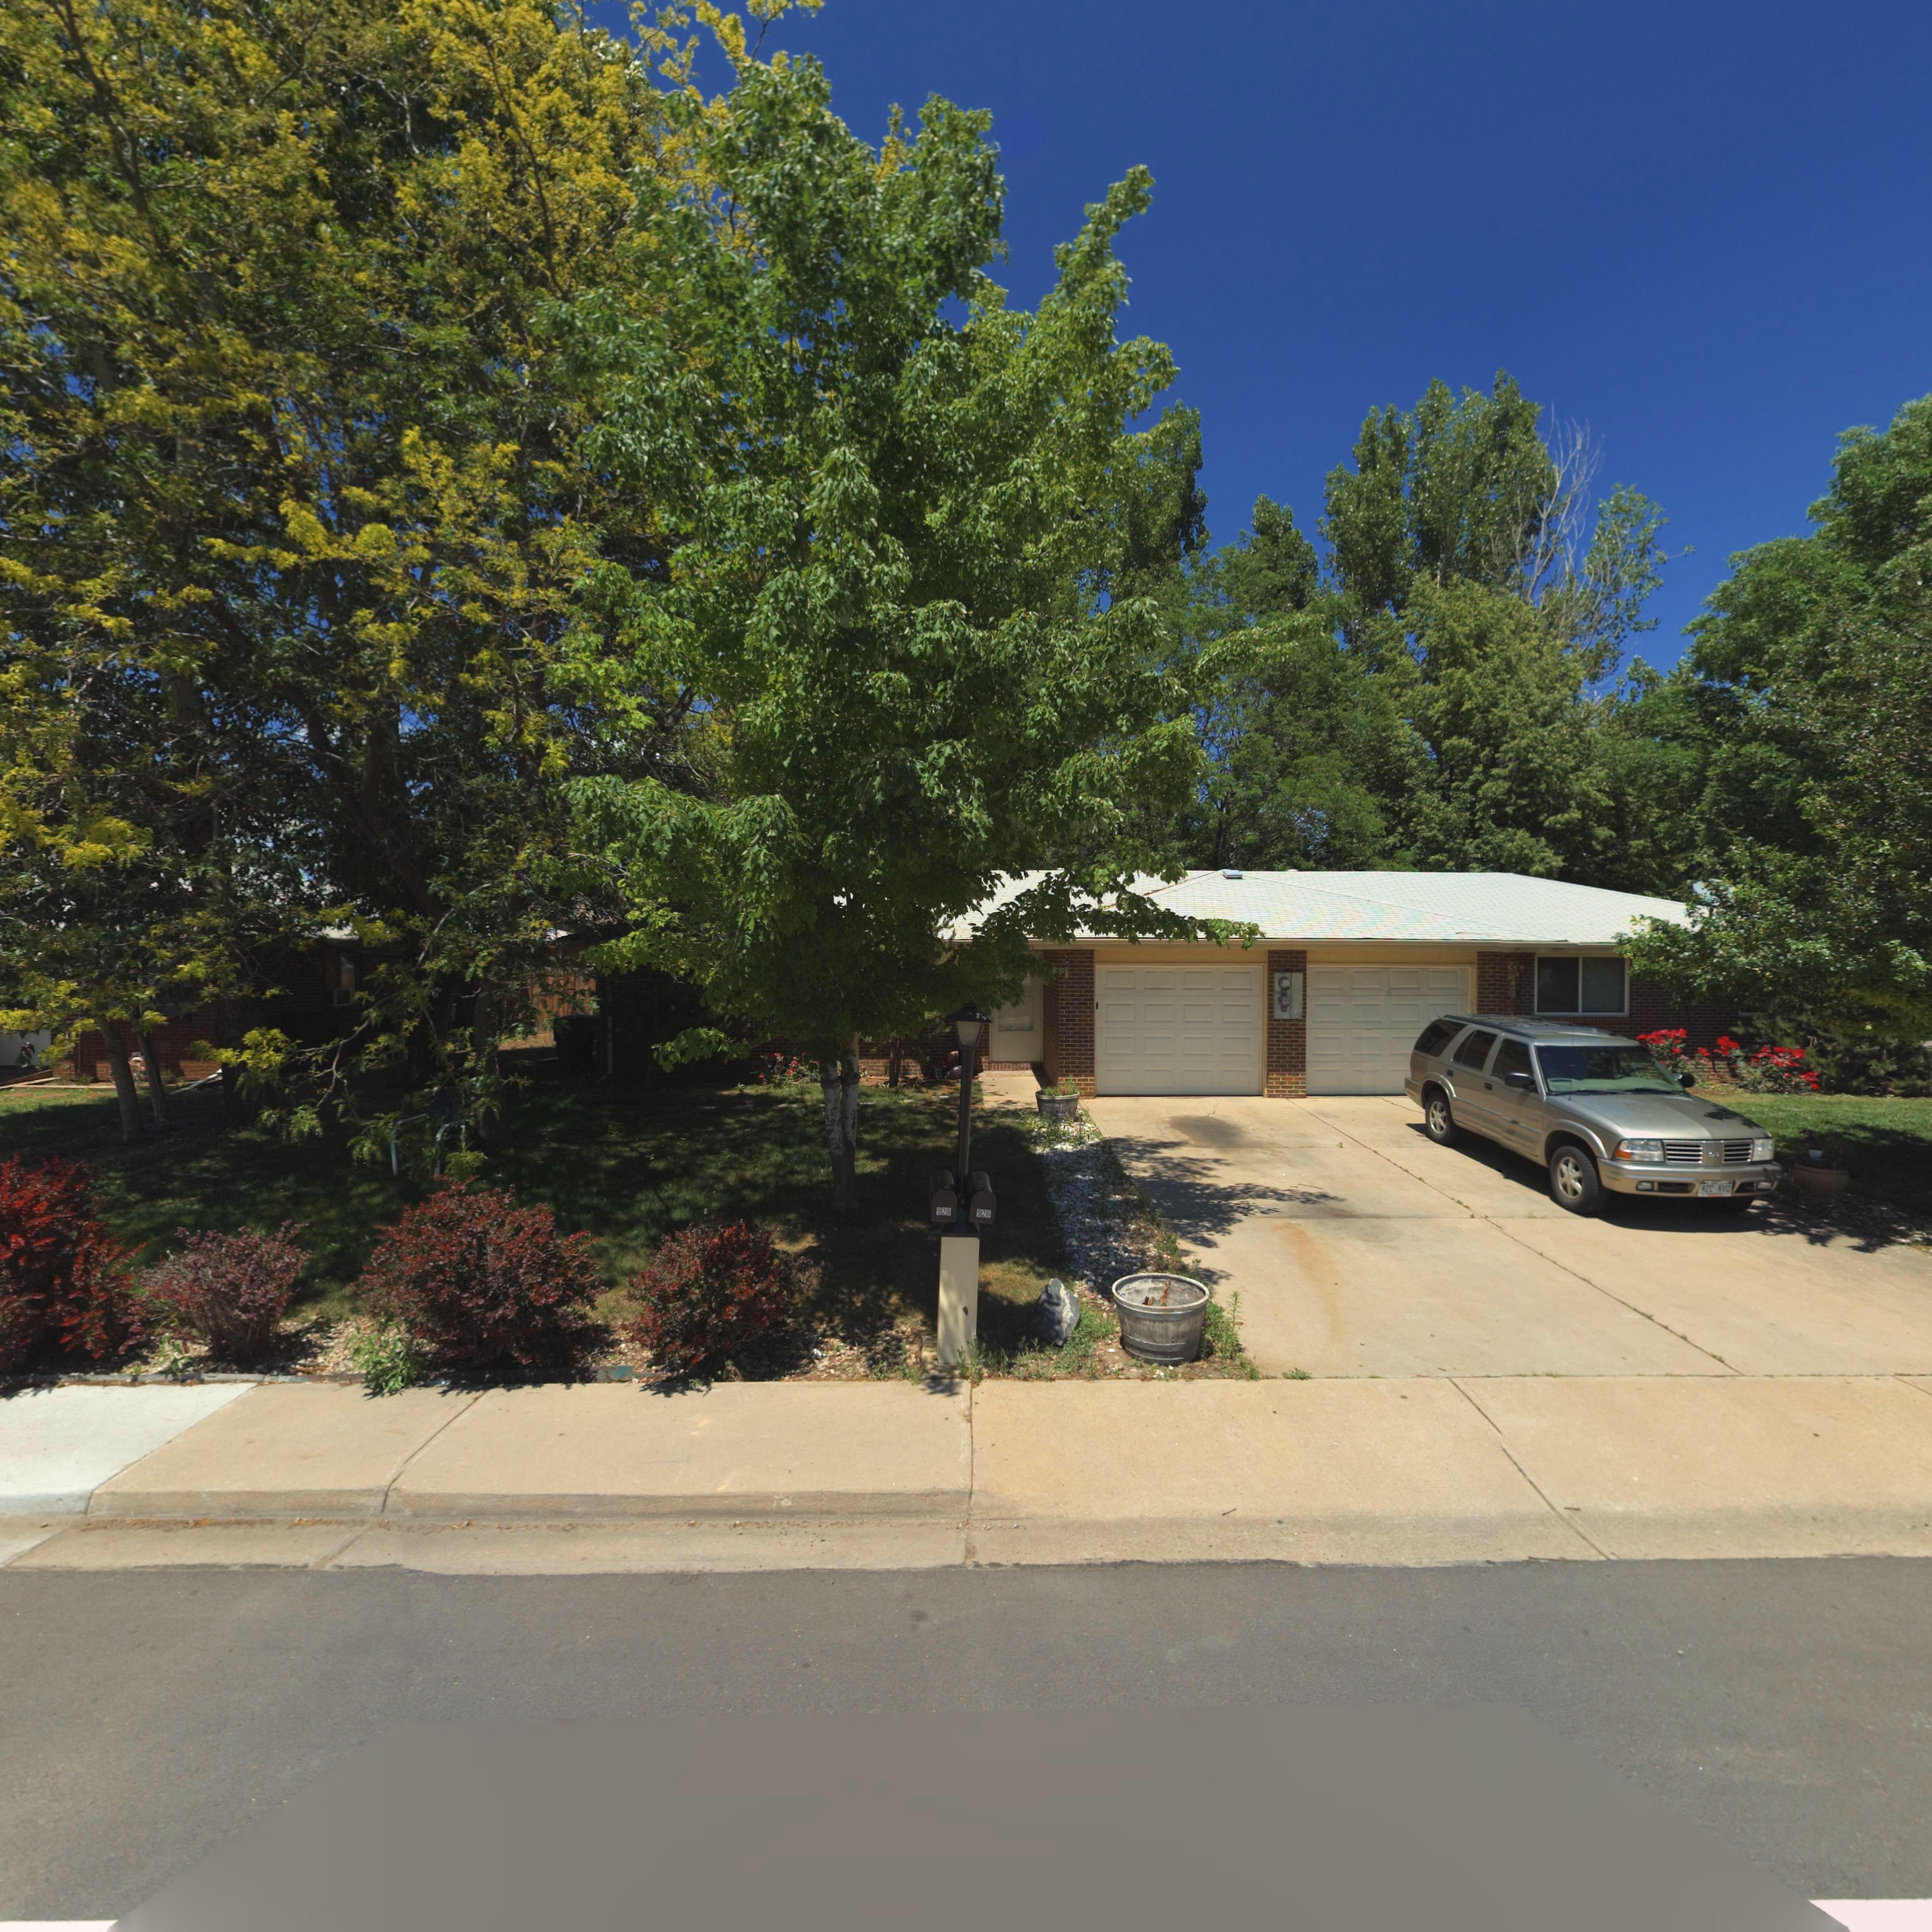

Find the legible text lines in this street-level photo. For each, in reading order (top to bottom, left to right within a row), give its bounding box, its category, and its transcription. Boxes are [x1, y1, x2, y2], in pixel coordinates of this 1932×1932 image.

[937, 1207, 950, 1215] StreetNumber: 928
[977, 1209, 990, 1217] StreetNumber: 926